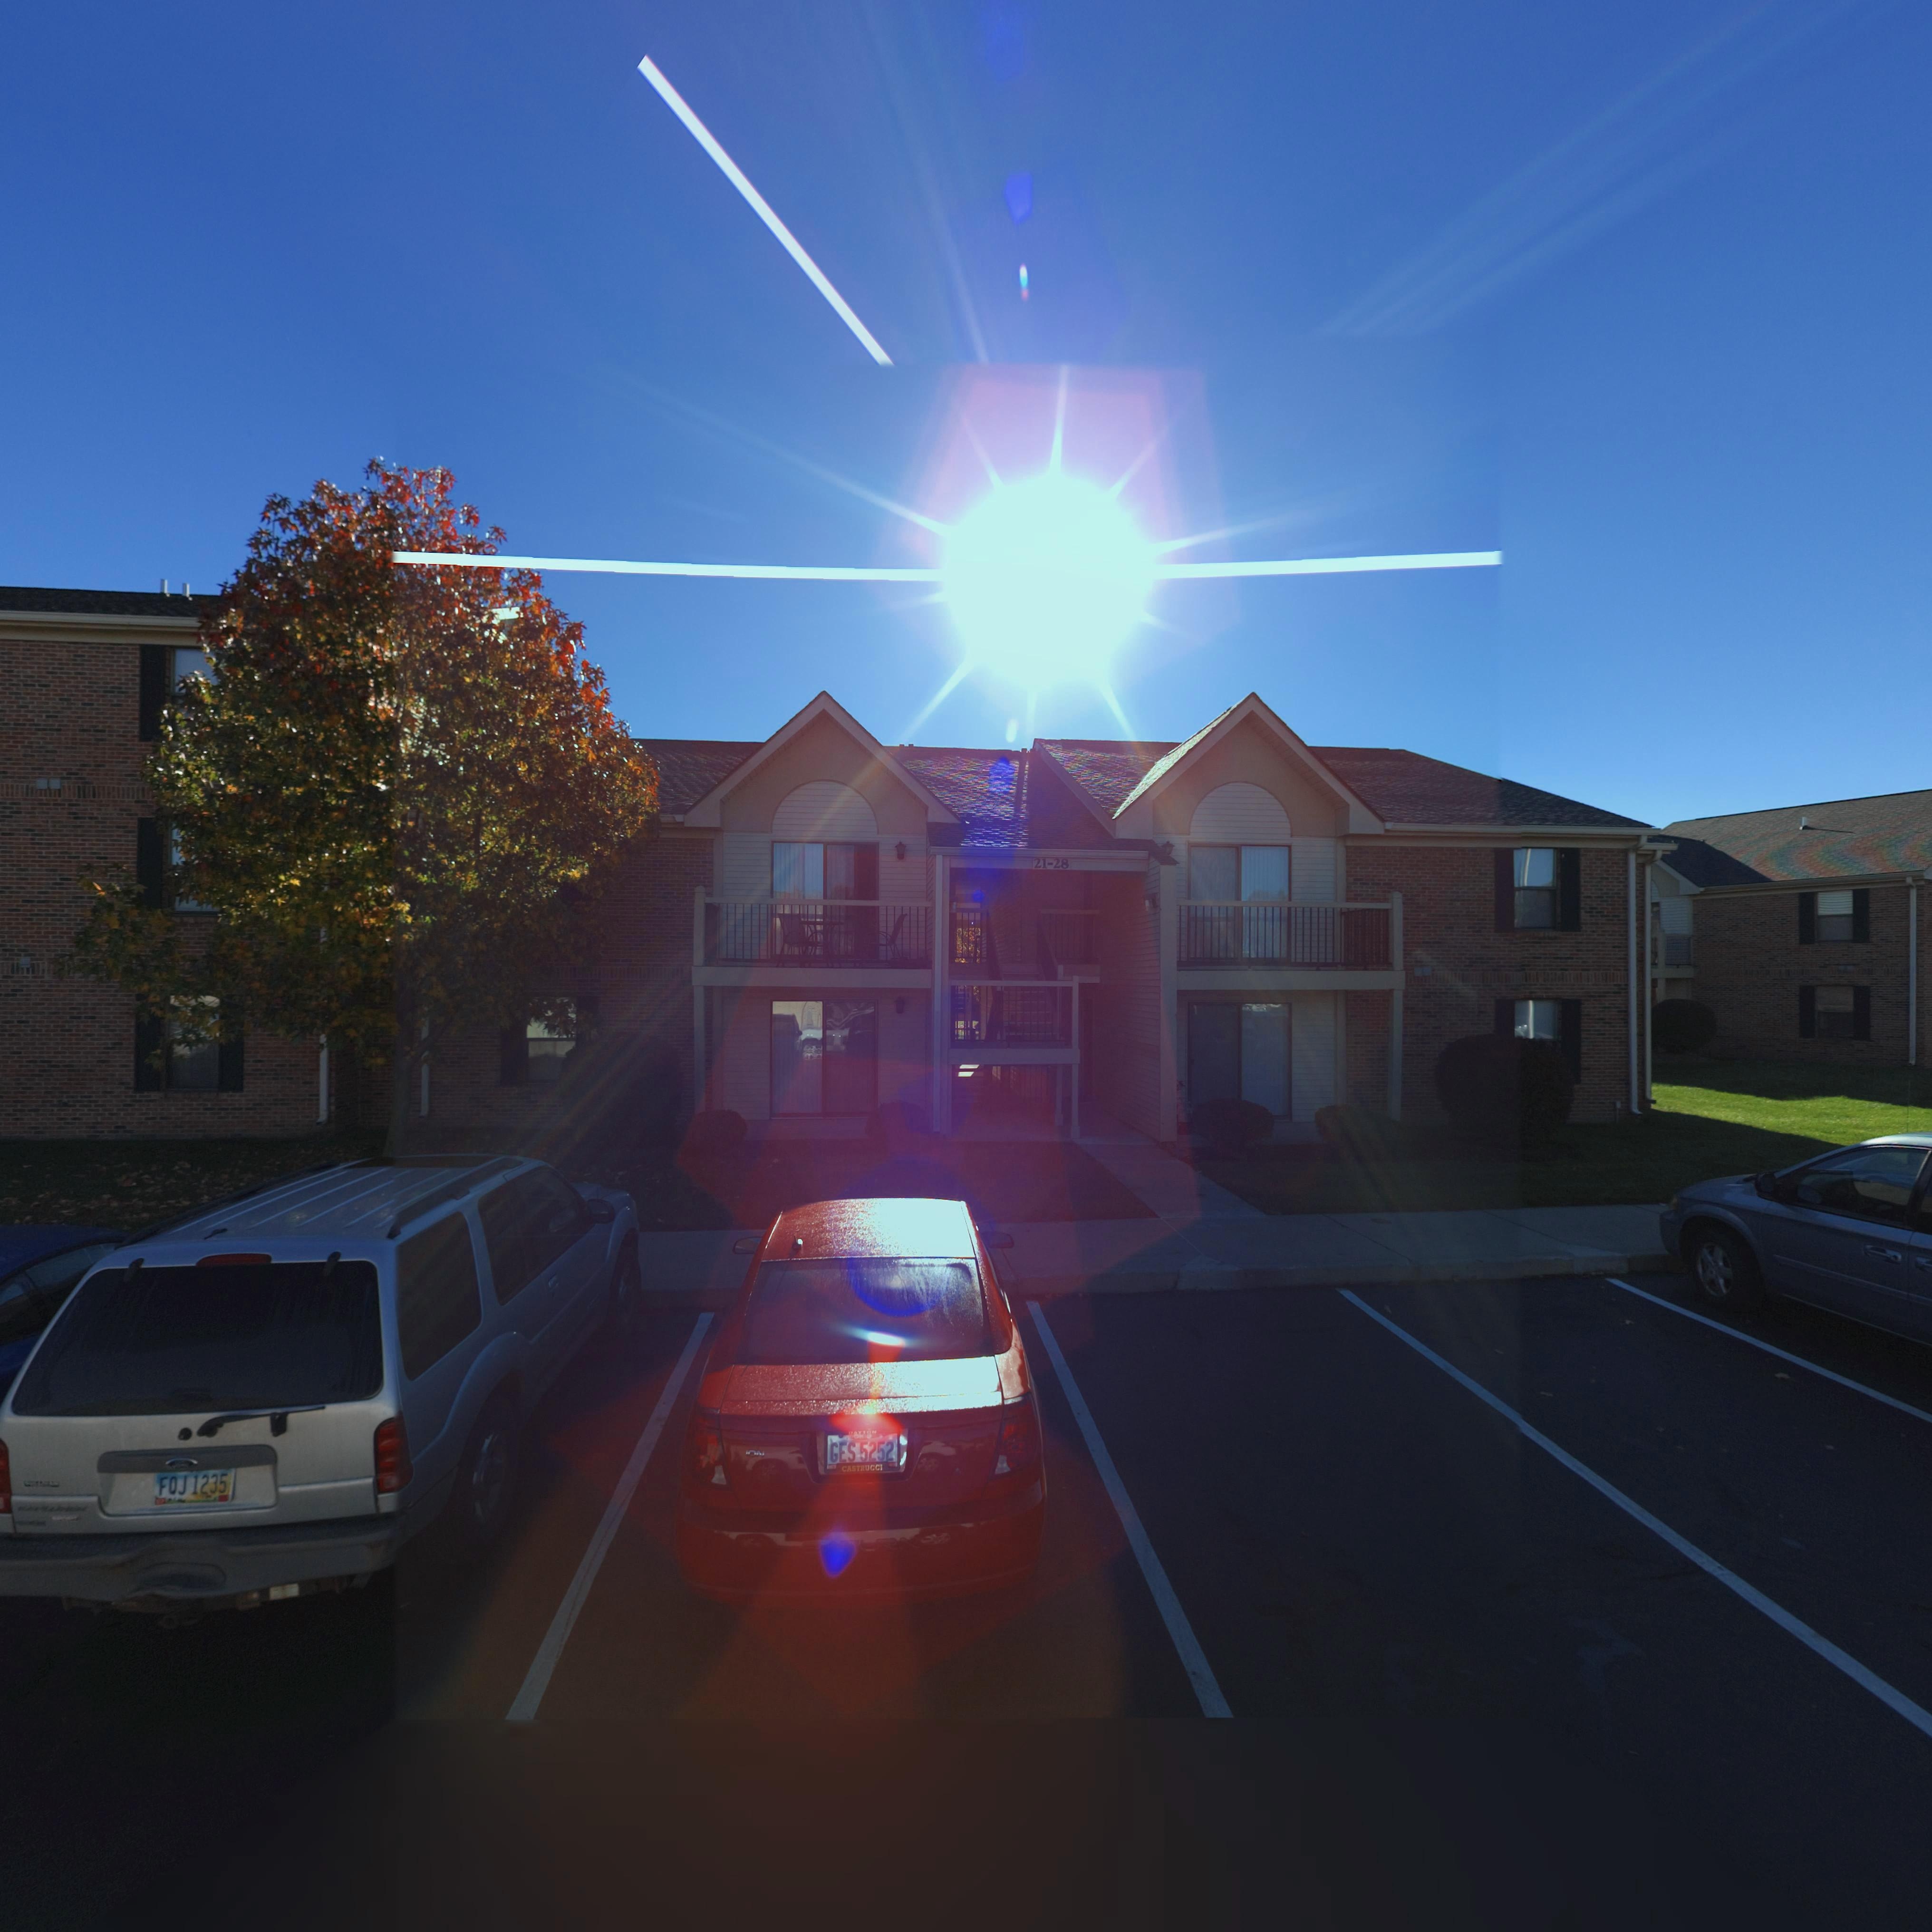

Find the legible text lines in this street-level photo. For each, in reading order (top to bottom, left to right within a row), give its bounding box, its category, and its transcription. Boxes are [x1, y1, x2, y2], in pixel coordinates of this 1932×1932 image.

[1033, 858, 1069, 869] StreetNumber: 21-28